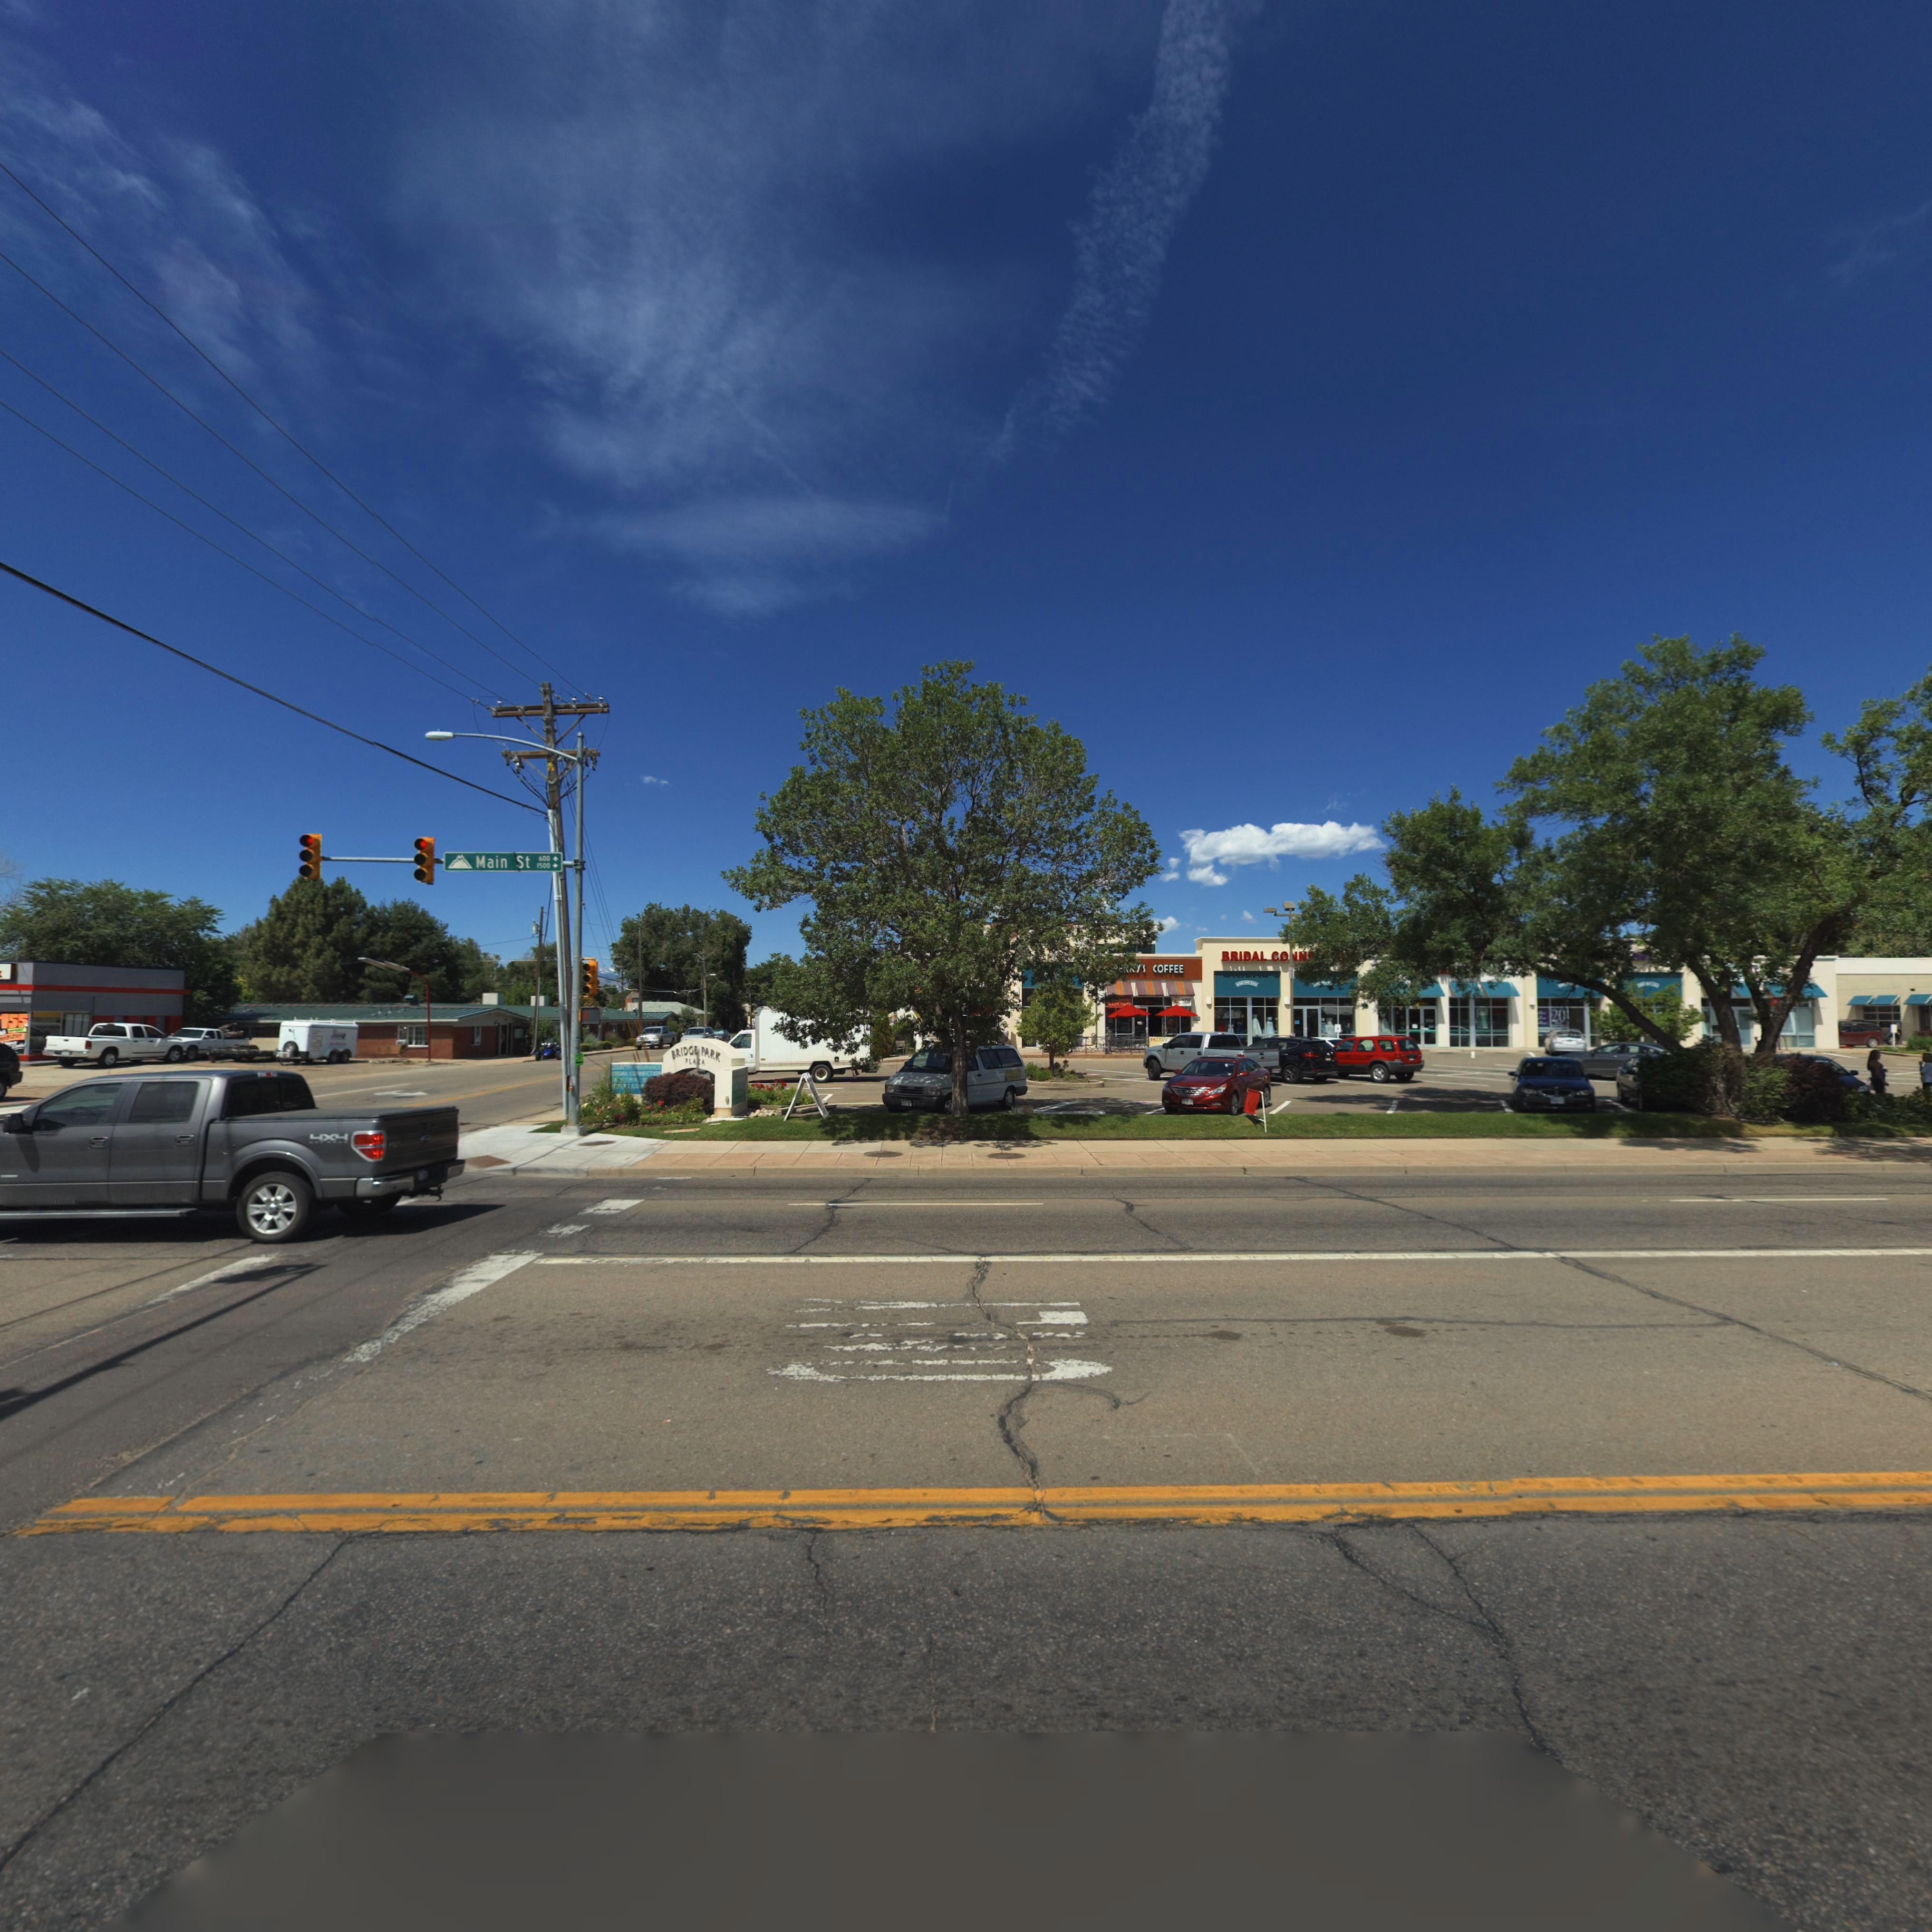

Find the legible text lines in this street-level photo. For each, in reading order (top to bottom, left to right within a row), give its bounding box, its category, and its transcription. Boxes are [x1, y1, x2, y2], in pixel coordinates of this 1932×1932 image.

[476, 855, 530, 868] StreetName: Main st
[538, 855, 551, 861] StreetNumberRange: 600
[536, 862, 559, 868] StreetNumberRange: 1500->
[1221, 951, 1348, 962] BusinessName: BRIDA CO*N****O*
[1112, 964, 1184, 973] BusinessName: *****'S COFFEE
[611, 1065, 661, 1070] BusinessName: COUNTRY *NSURANCE
[611, 1071, 661, 1076] BusinessName: ***DAL CONNECT*ON
[613, 1083, 644, 1090] BusinessName: ***** CO**